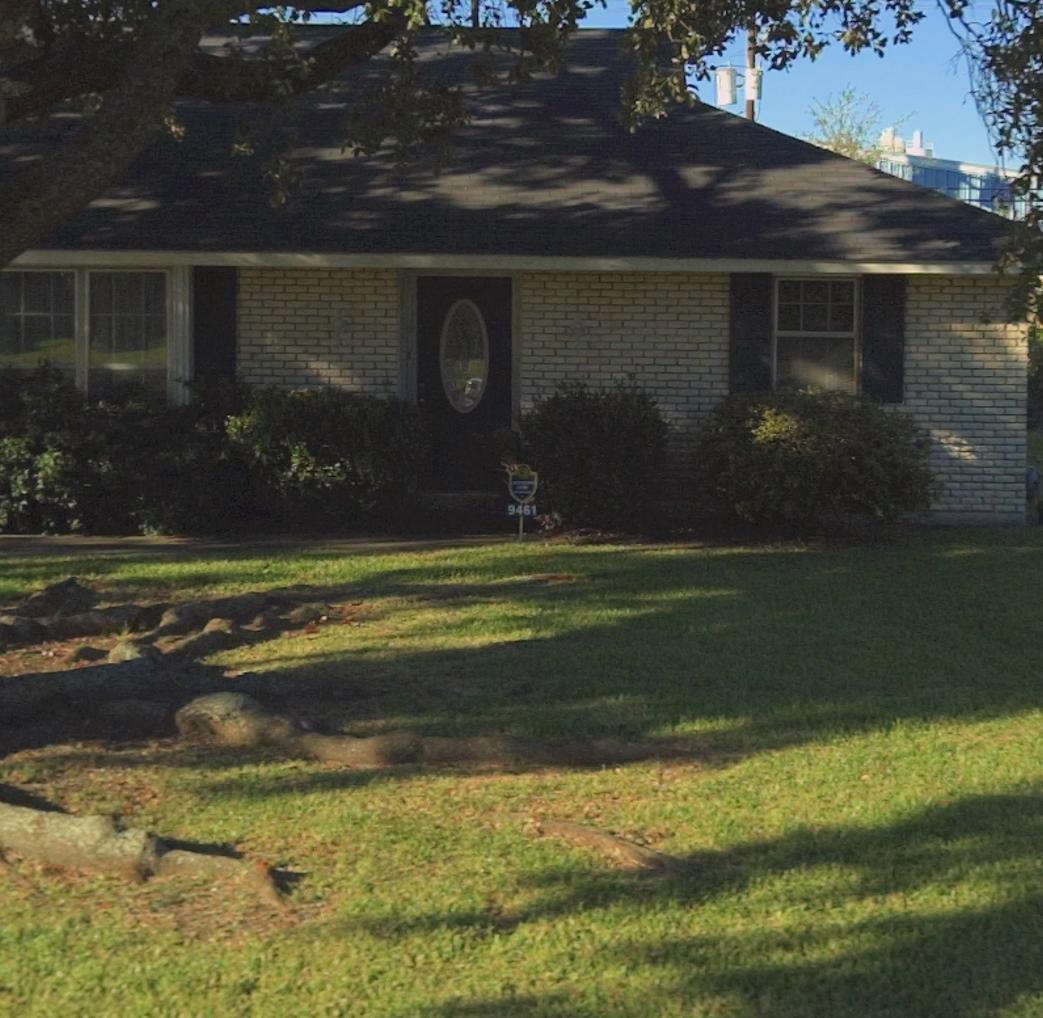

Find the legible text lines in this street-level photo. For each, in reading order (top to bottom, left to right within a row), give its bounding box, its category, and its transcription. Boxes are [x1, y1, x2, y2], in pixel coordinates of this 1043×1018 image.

[506, 503, 538, 516] StreetNumber: 9461